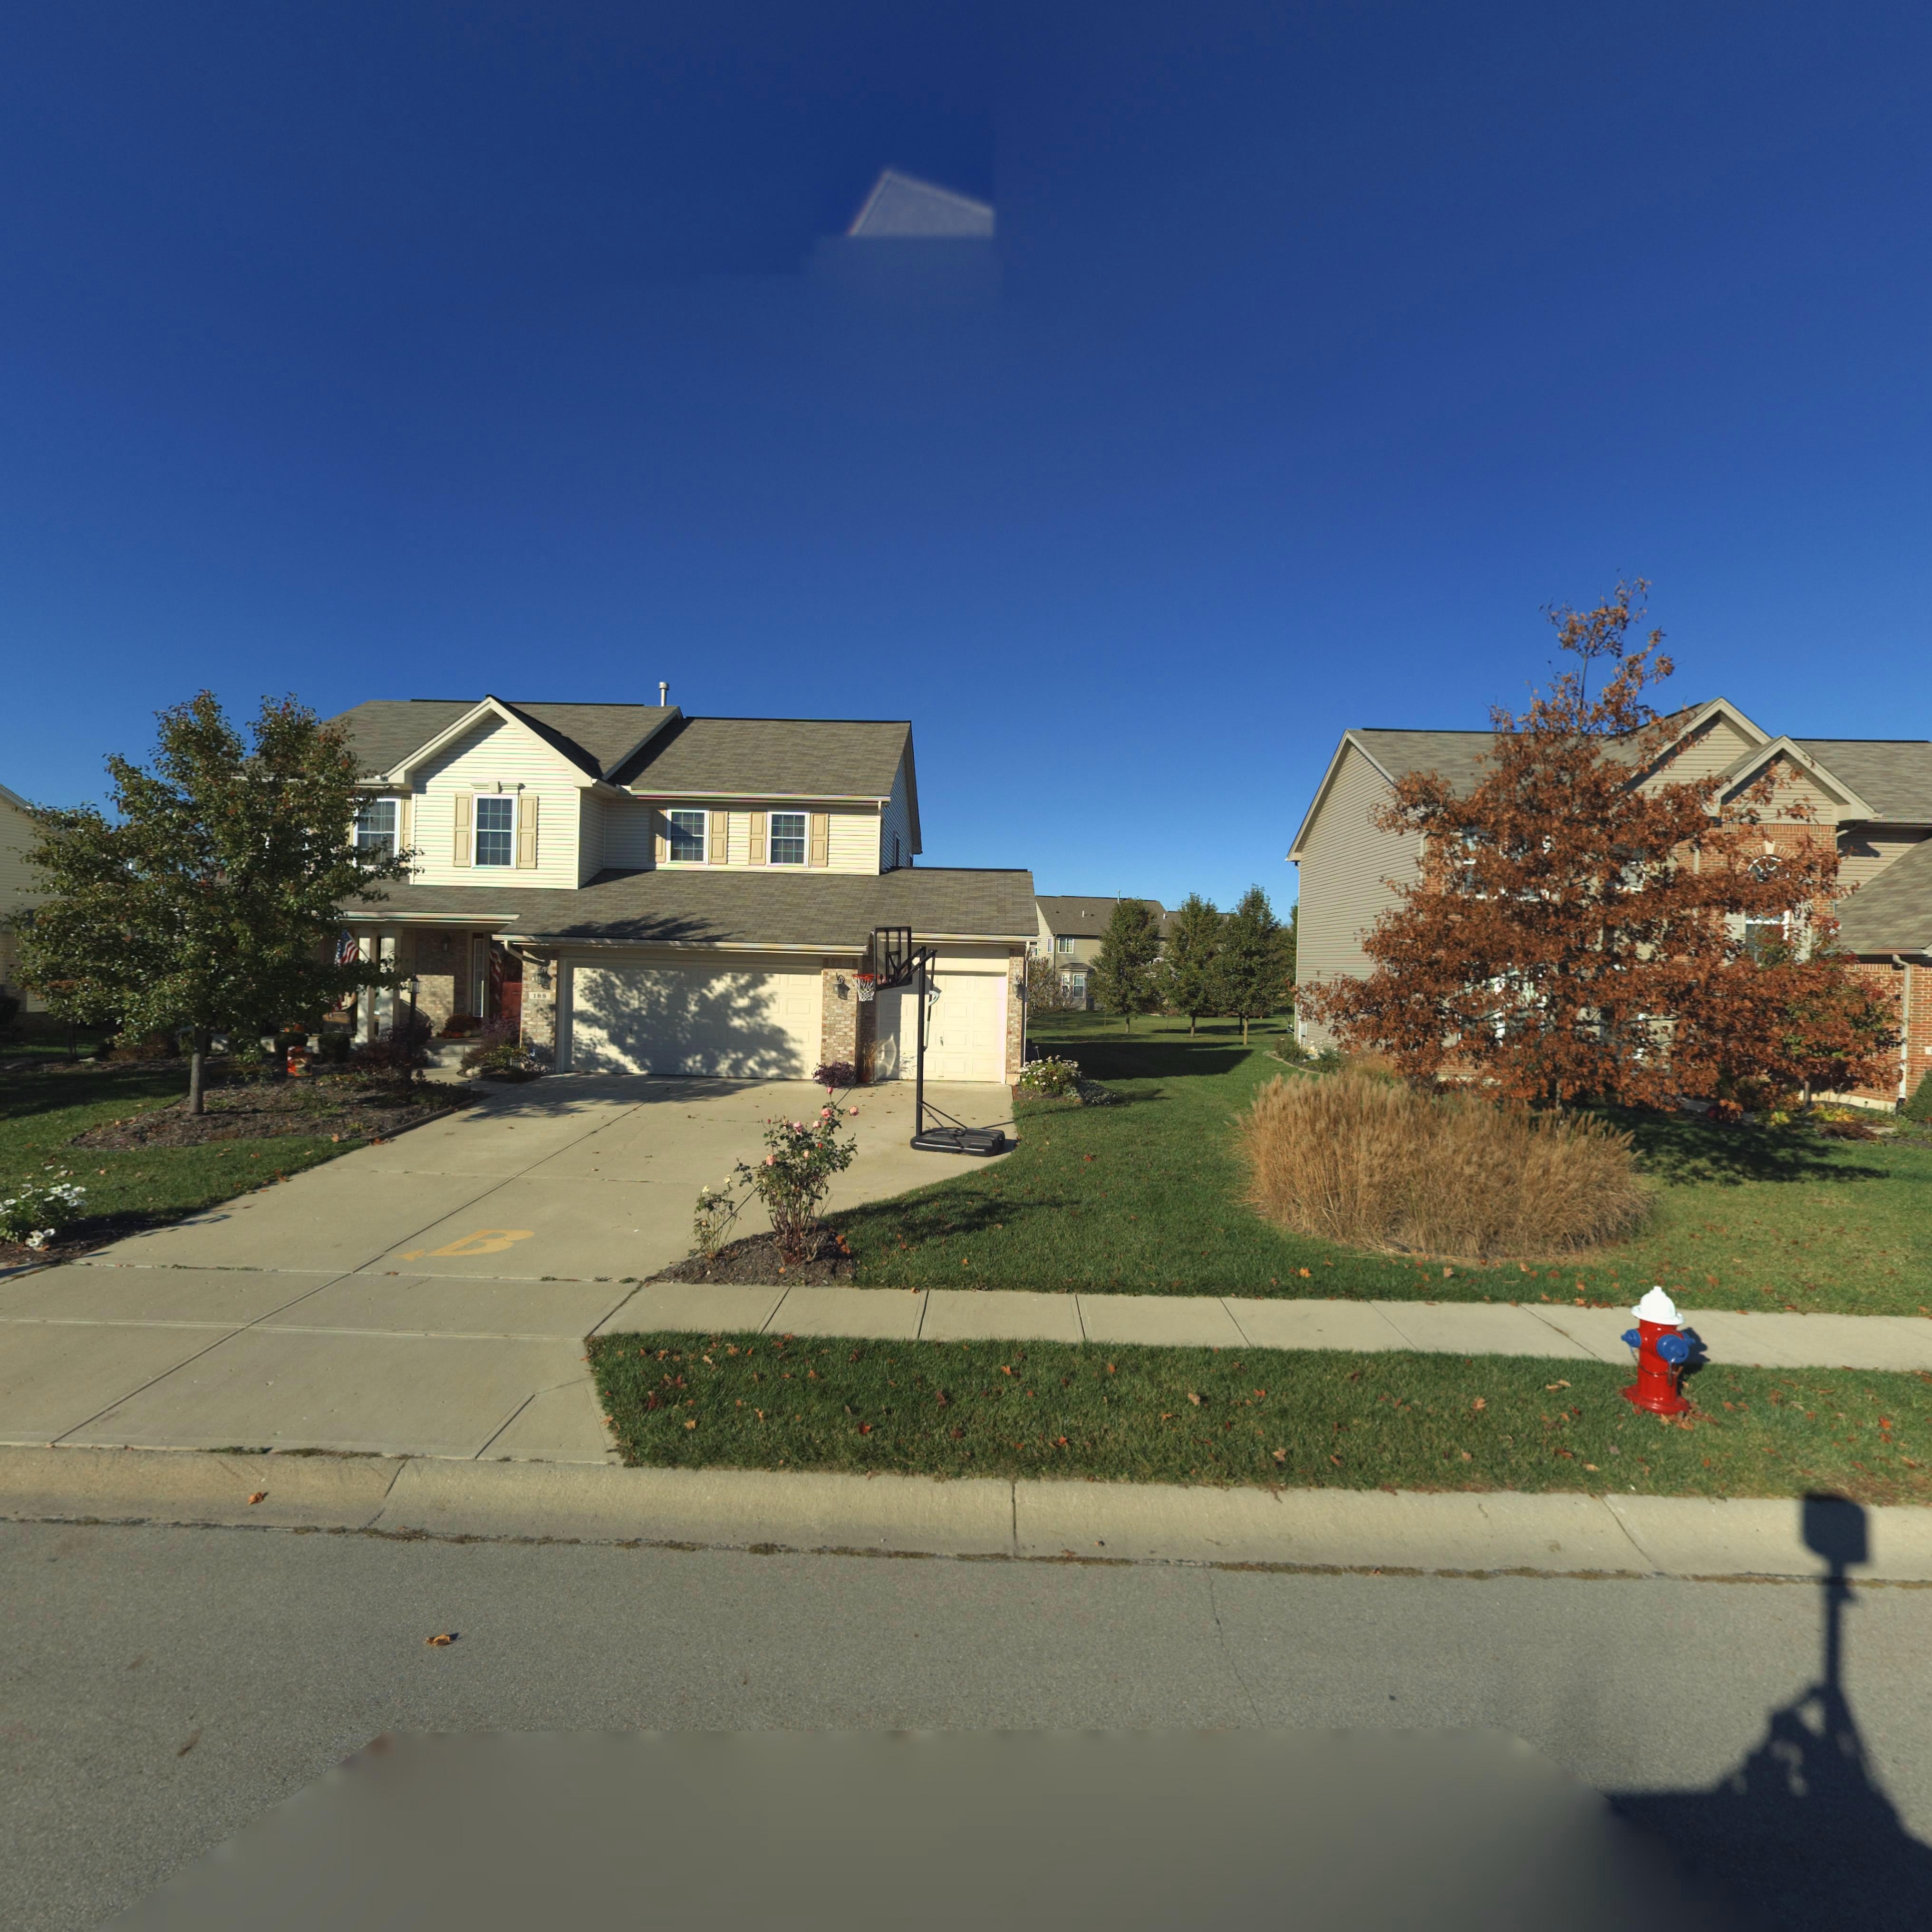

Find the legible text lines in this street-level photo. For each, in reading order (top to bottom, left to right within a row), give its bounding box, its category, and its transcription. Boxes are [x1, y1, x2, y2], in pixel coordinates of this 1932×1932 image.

[532, 992, 548, 999] StreetNumber: 188